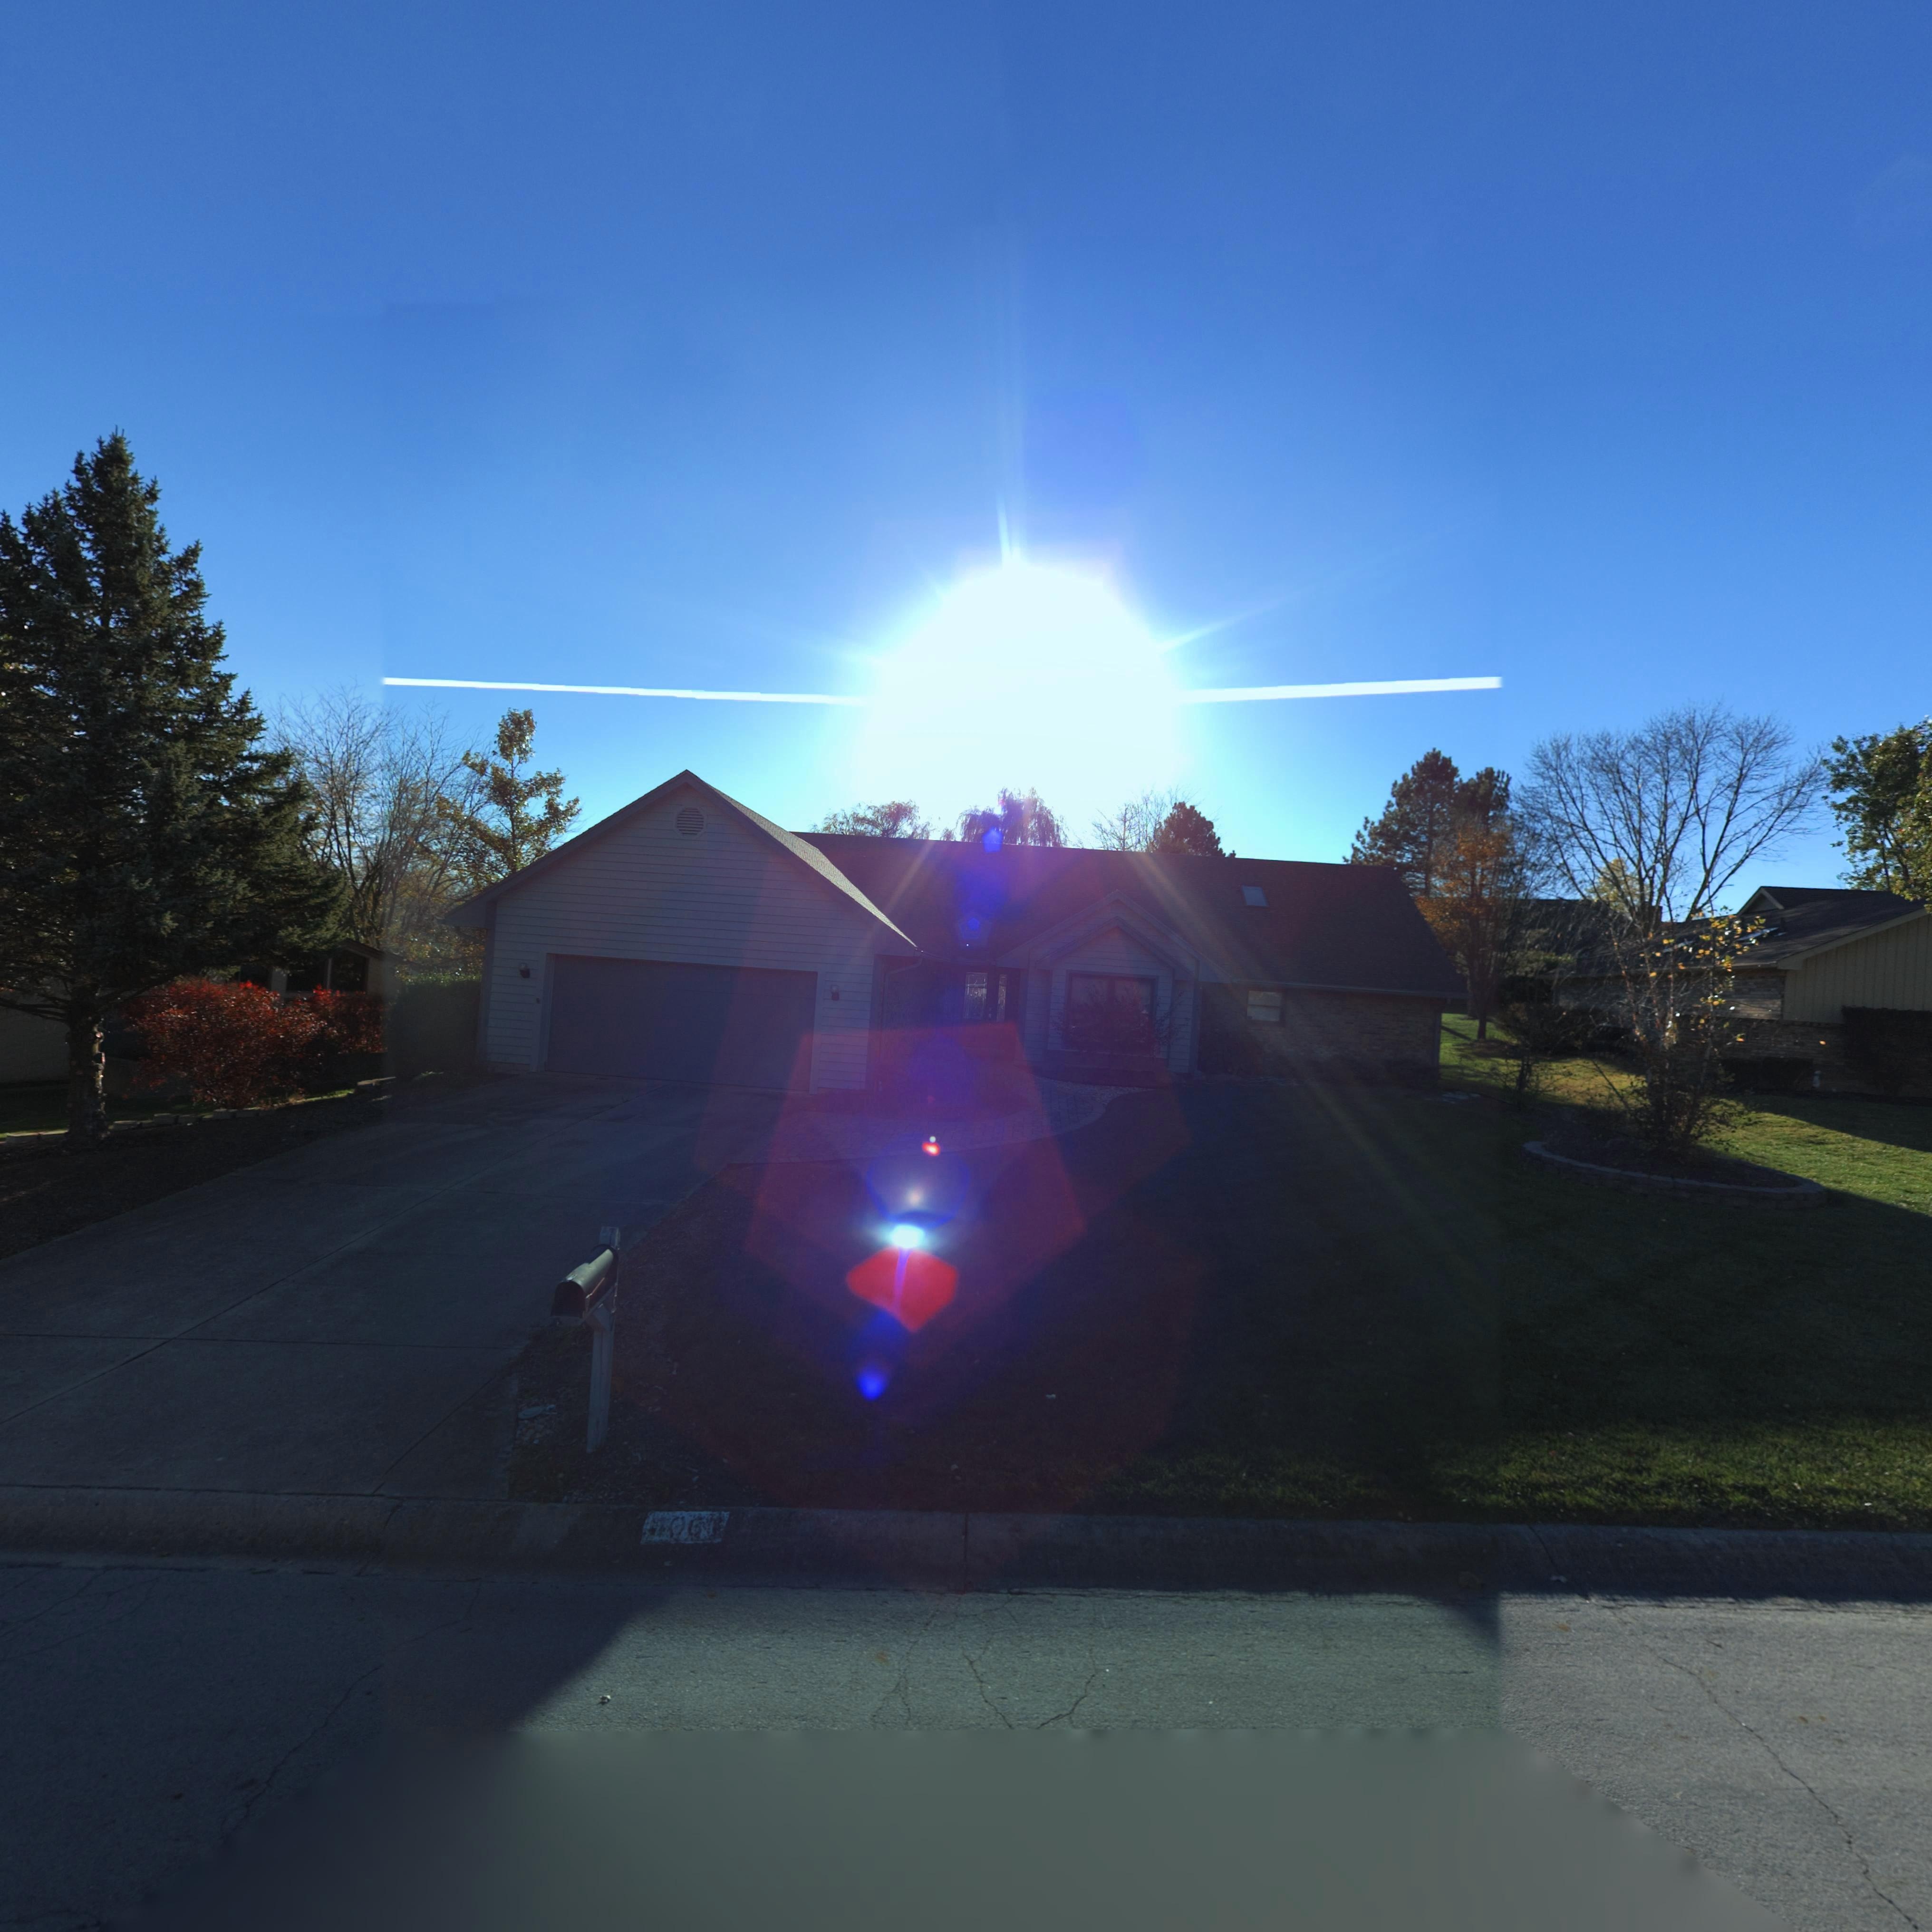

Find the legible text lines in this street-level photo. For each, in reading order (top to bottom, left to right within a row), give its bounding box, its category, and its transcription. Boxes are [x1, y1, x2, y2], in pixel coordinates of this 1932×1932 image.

[645, 1513, 718, 1540] StreetNumber: *06*